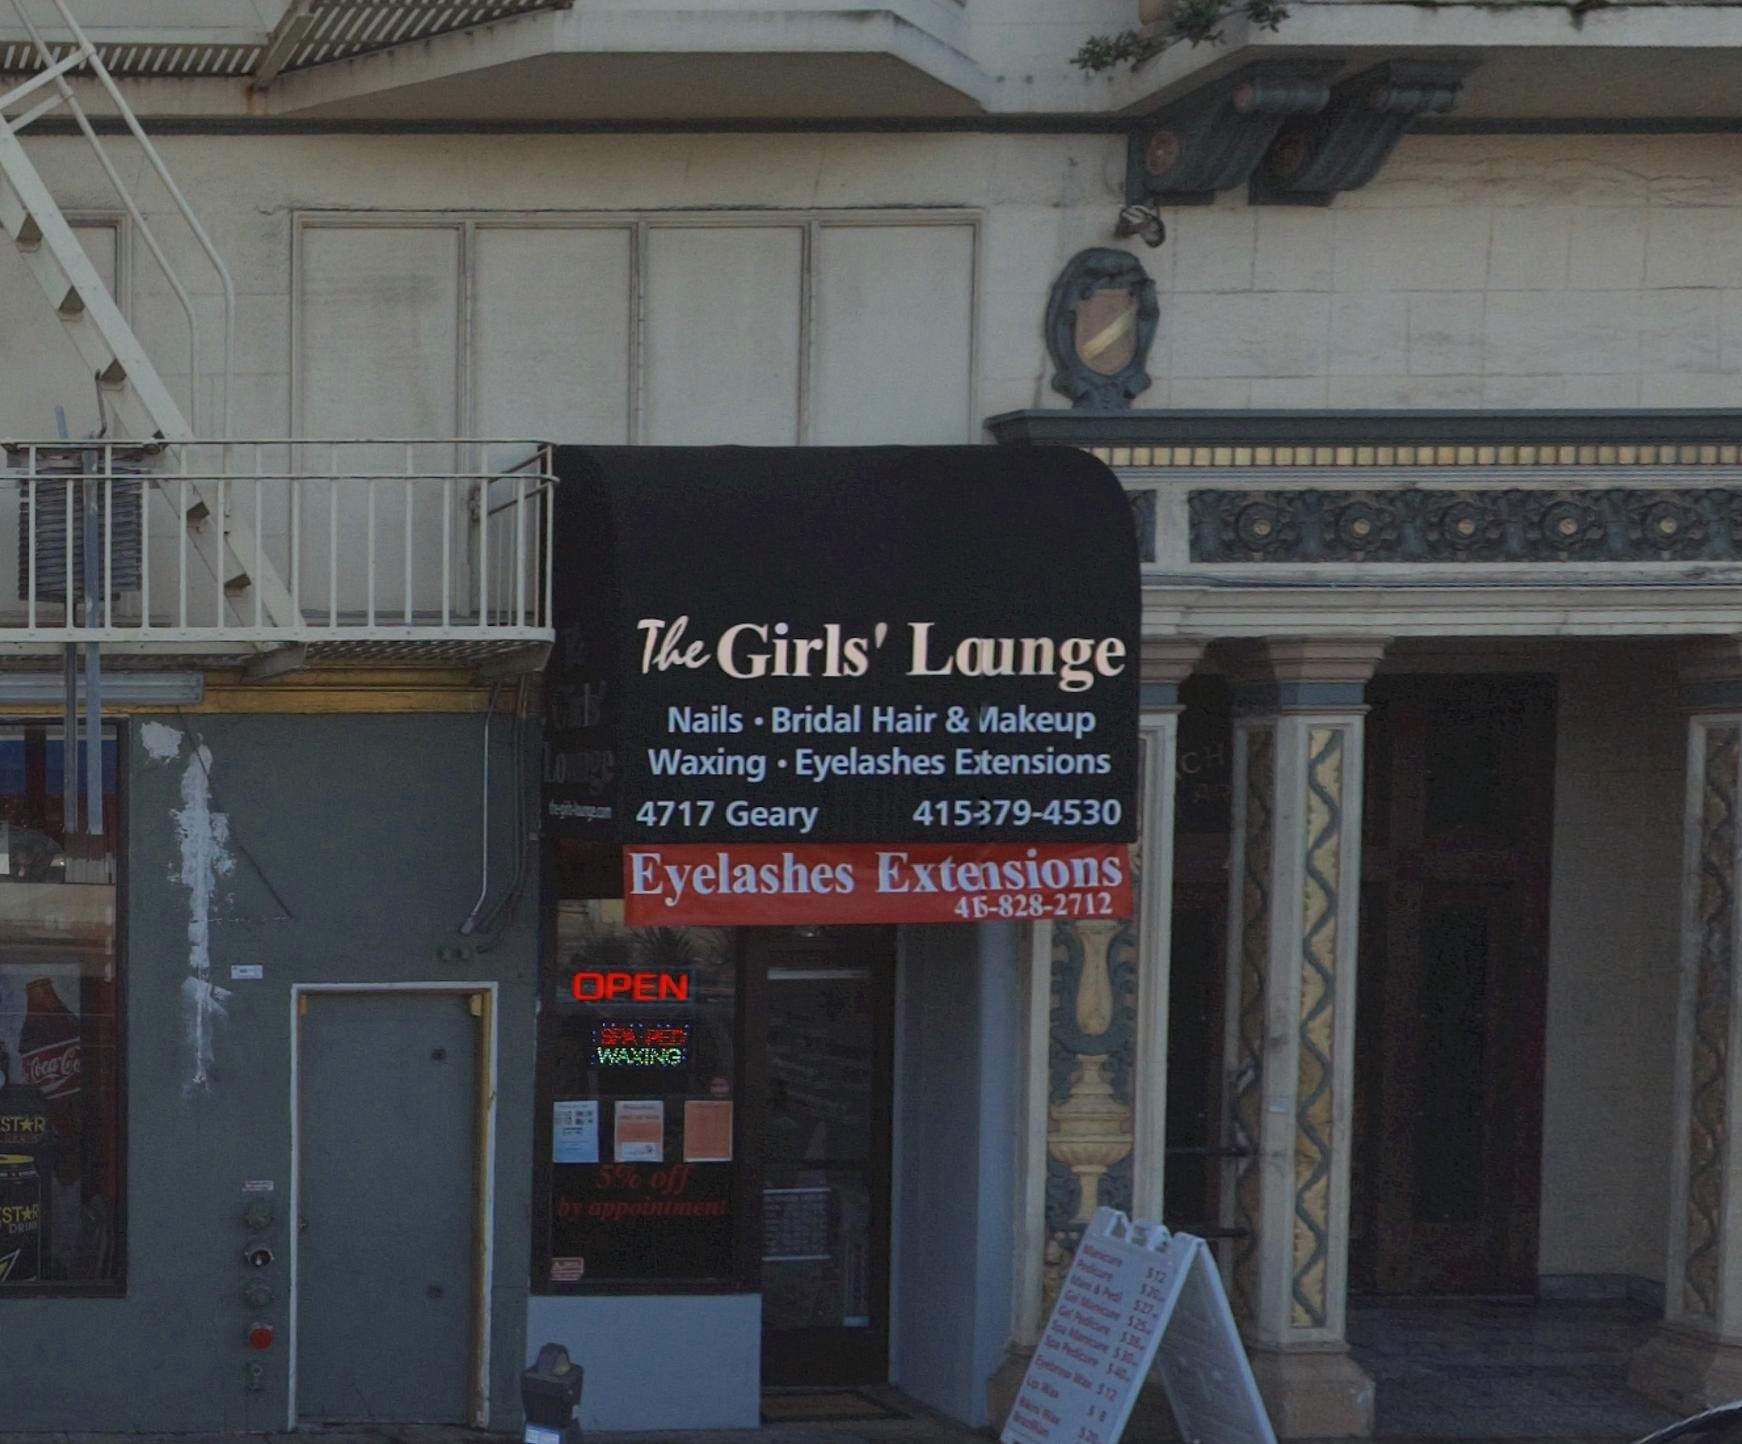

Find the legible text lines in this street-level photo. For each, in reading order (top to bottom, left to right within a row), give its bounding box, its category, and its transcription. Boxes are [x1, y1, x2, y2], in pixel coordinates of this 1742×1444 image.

[631, 612, 1130, 695] BusinessName: The Girl's Lounge
[665, 702, 1099, 742] None: Nails - Bridal Hair & *akeup
[537, 738, 618, 802] BusinessName: Lo**ge
[643, 744, 1114, 785] None: Waxing - Eyelashes E*tensions
[1175, 738, 1228, 777] None: CH
[1188, 778, 1216, 811] None: A
[630, 798, 719, 831] StreetNumber: 4717
[721, 798, 821, 836] StreetName: Geary
[905, 796, 1126, 829] None: 415-*79-4530
[625, 845, 1125, 908] None: Eyelashes Exte*sions
[948, 888, 1115, 921] None: 41*-828-2712
[567, 969, 692, 1004] None: OPEN
[597, 1026, 688, 1047] None: SPA PED
[27, 1043, 81, 1086] None: Coca-Co
[593, 1044, 685, 1068] None: WAXING
[0, 1113, 47, 1137] None: ST*R
[591, 1159, 702, 1199] None: 5% off
[1, 1202, 40, 1226] None: ST*R
[6, 1217, 36, 1238] None: DRIN
[553, 1193, 732, 1225] None: by appointment
[1079, 1237, 1128, 1274] None: Manicure
[1129, 1314, 1151, 1336] None: 25
[1135, 1296, 1157, 1325] None: 27
[1143, 1283, 1164, 1305] None: 2*
[1149, 1267, 1169, 1289] None: 12
[1021, 1368, 1063, 1408] None: Lip Wax
[1099, 1383, 1119, 1406] None: 12
[1109, 1360, 1131, 1384] None: 40
[1115, 1346, 1137, 1368] None: 30
[1090, 1405, 1111, 1431] None: 8